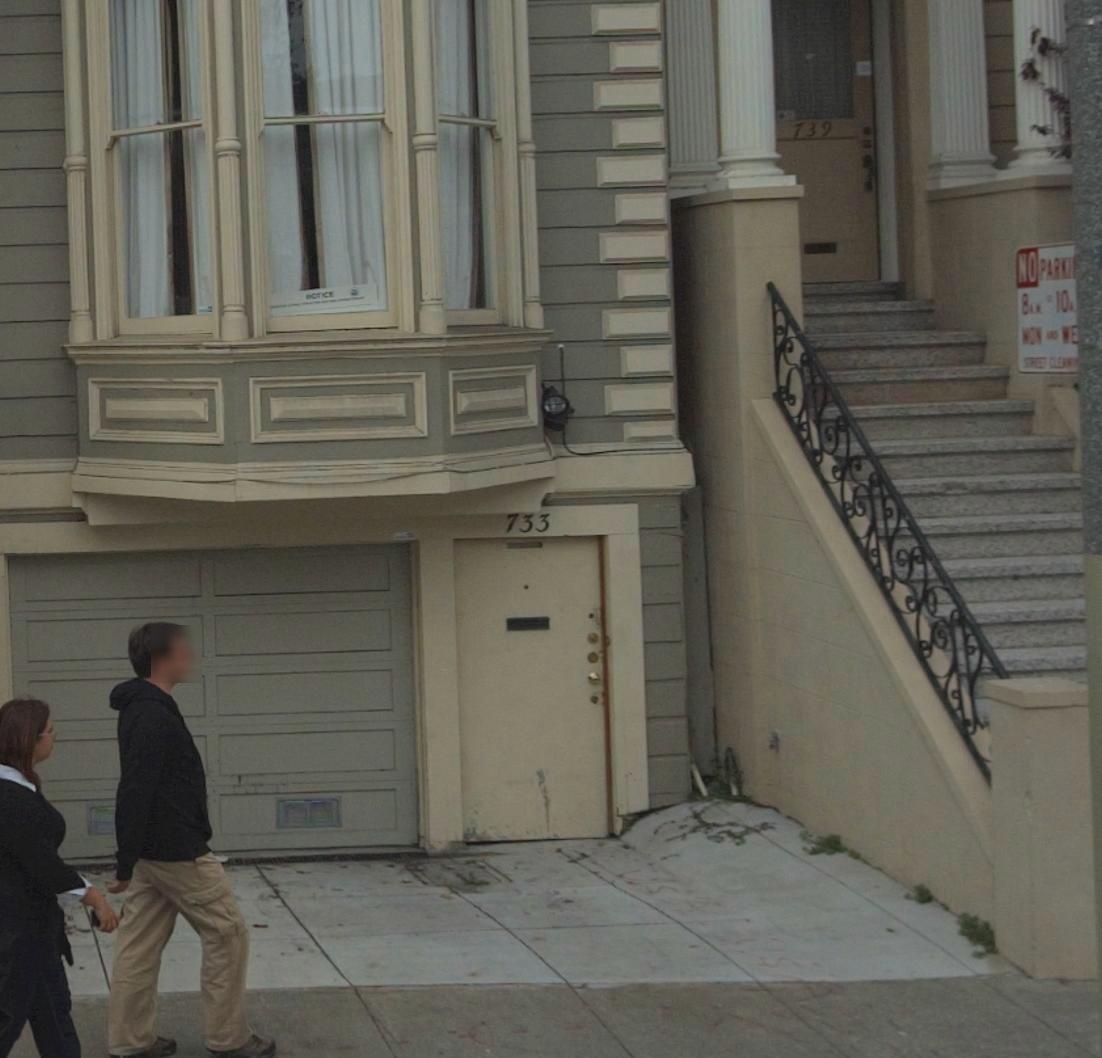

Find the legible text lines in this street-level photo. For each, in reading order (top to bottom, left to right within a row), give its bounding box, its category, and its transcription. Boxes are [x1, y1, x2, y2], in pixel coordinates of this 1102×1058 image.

[1016, 249, 1074, 288] None: NO PARKI
[310, 289, 337, 301] None: OTICE
[1018, 290, 1035, 319] None: 8
[1053, 287, 1072, 316] None: 10
[1018, 324, 1046, 348] None: MON
[1060, 322, 1080, 348] None: WE
[1022, 355, 1074, 371] None: S*REE* CLEAN
[502, 511, 554, 535] StreetNumber: 733